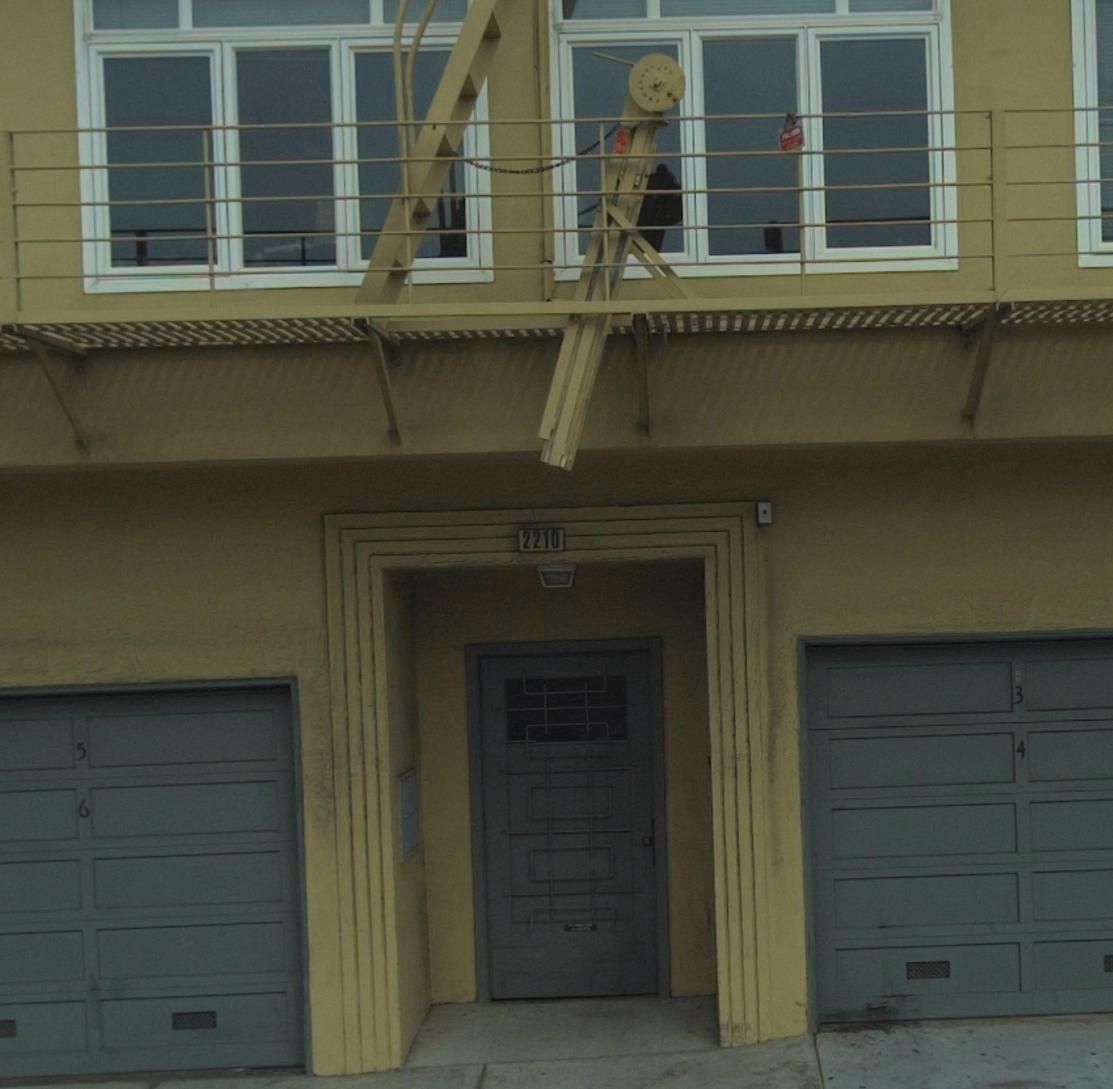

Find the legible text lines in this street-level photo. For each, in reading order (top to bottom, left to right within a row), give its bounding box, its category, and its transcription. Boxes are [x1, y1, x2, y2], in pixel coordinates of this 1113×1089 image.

[522, 527, 560, 551] StreetNumber: 2210
[1011, 683, 1025, 706] StreetNumber: 3
[74, 740, 88, 762] StreetNumber: 5
[1014, 739, 1028, 761] StreetNumber: 4
[76, 797, 92, 820] StreetNumber: 6